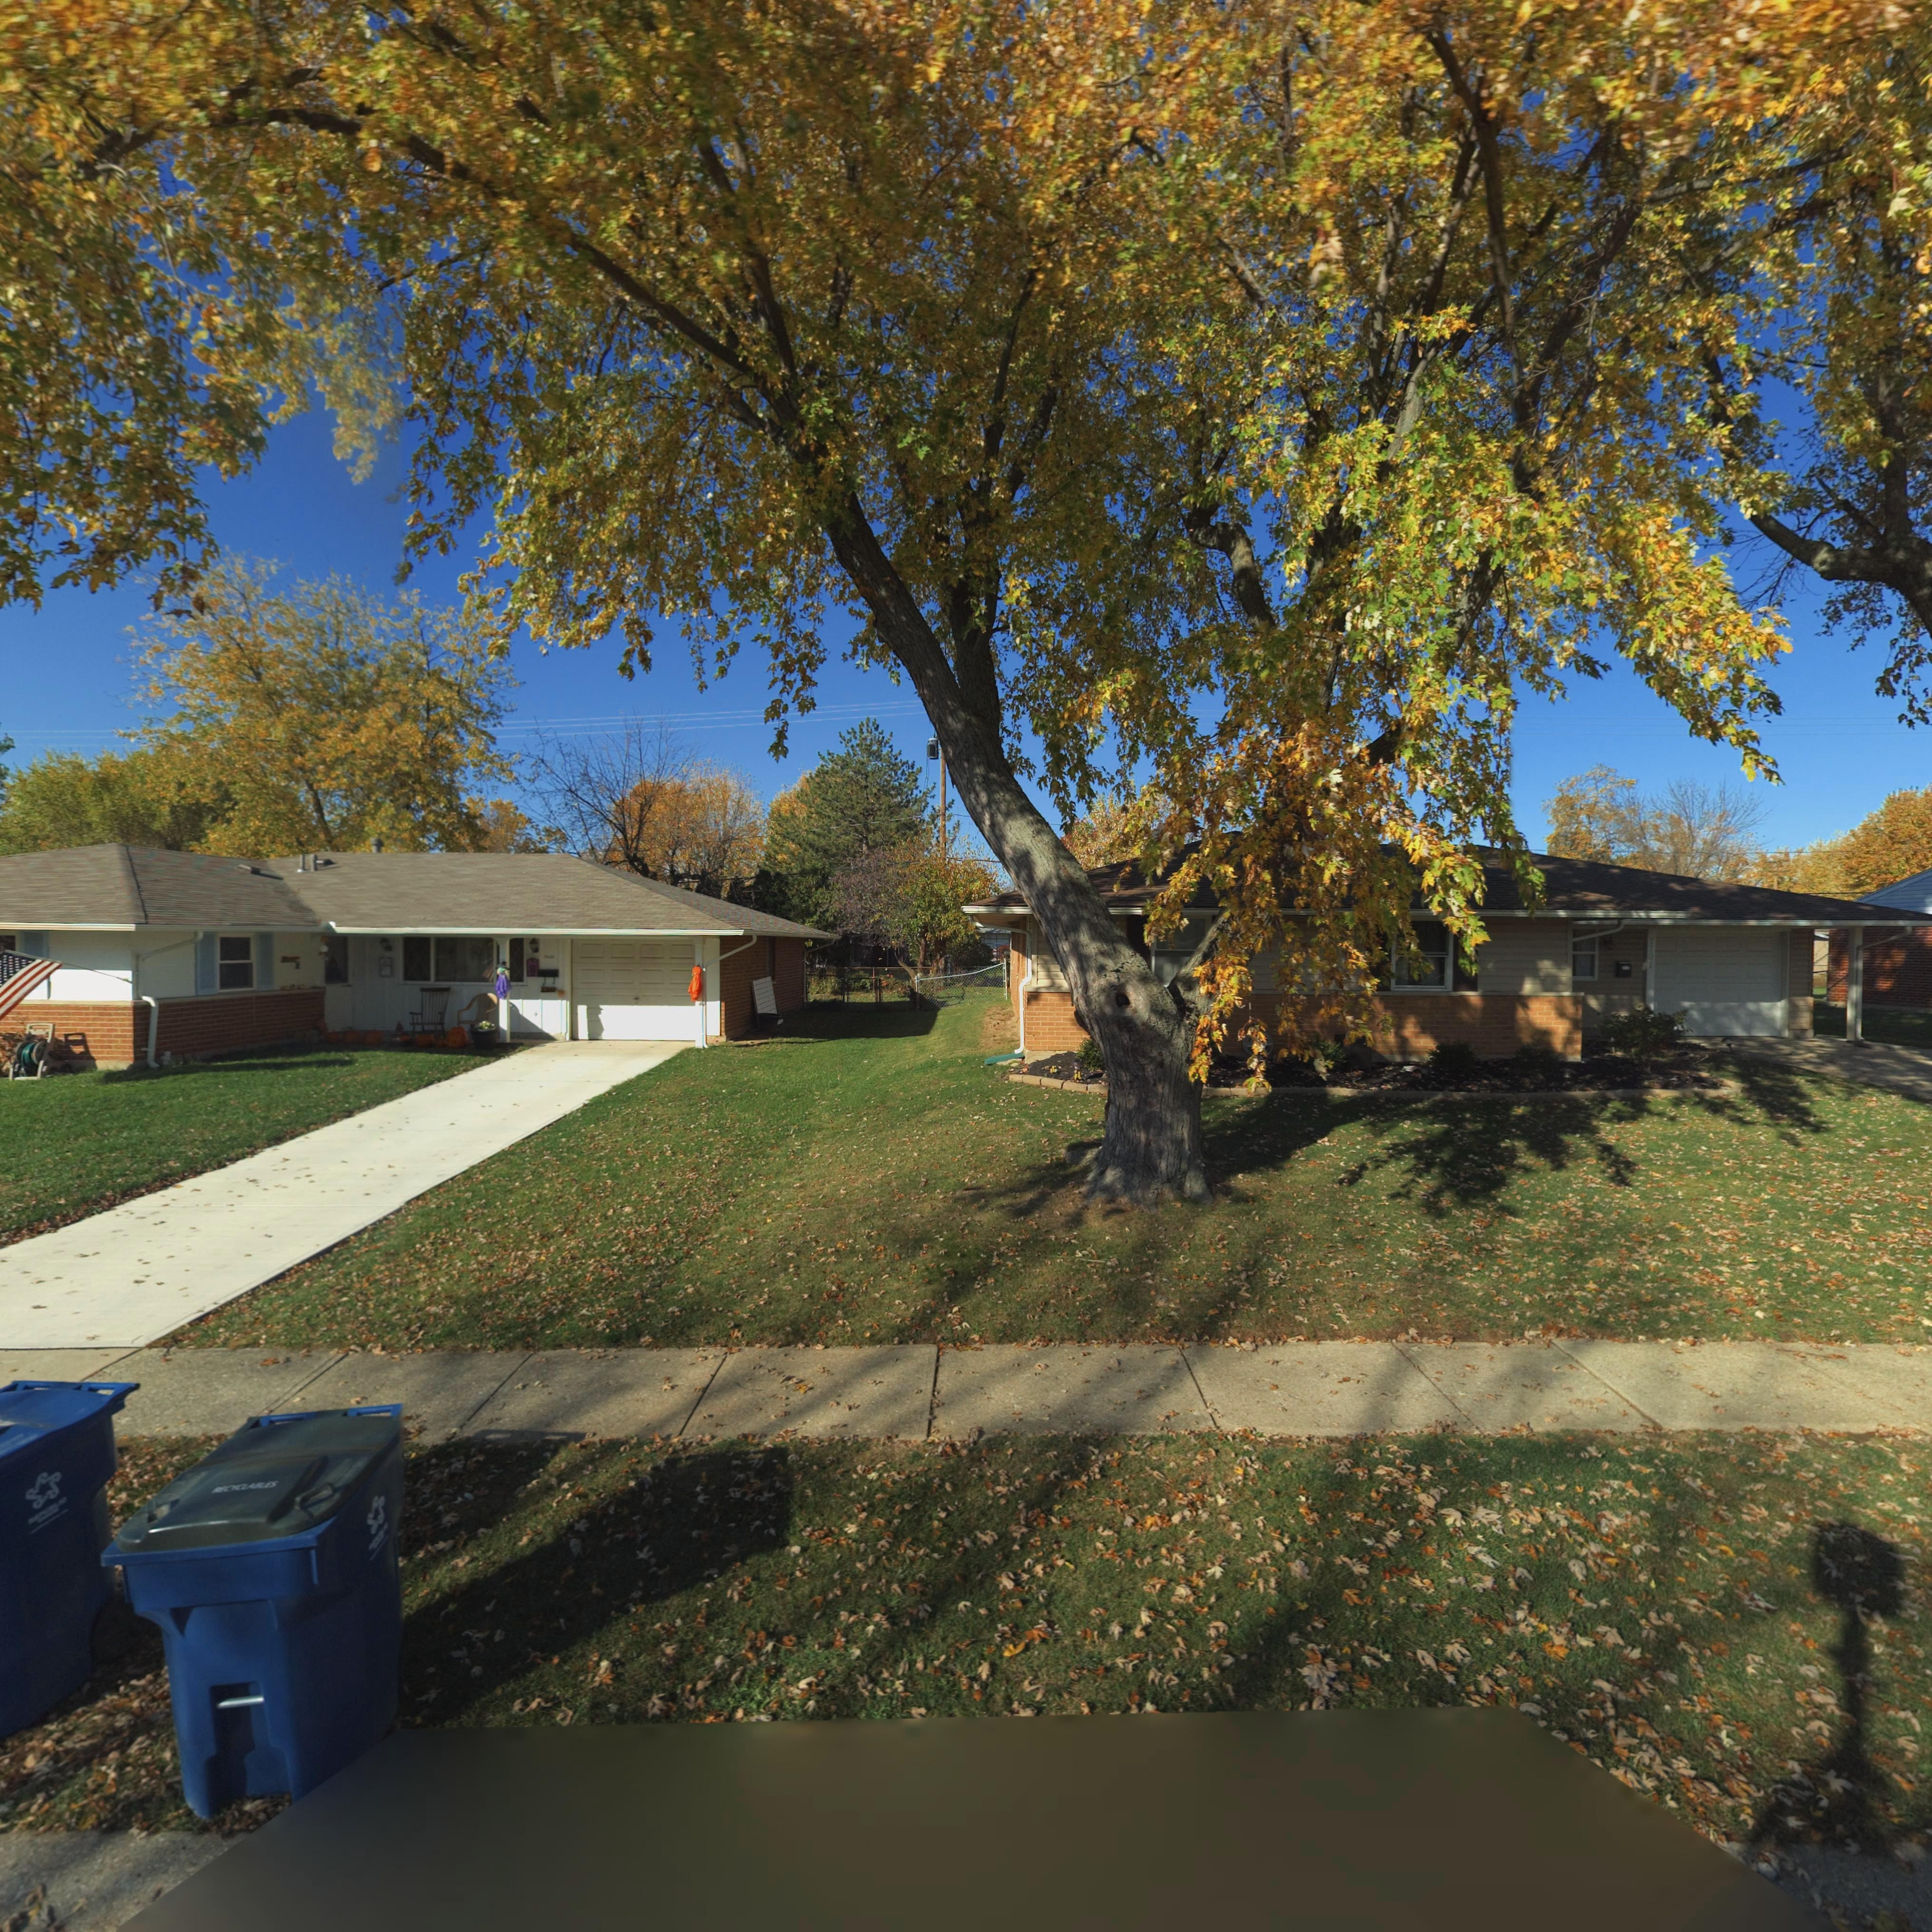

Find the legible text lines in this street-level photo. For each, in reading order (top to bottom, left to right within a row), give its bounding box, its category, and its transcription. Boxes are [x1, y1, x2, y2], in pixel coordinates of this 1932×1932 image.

[543, 954, 555, 959] StreetNumber: 7**9
[1647, 936, 1655, 969] StreetNumber: 7701